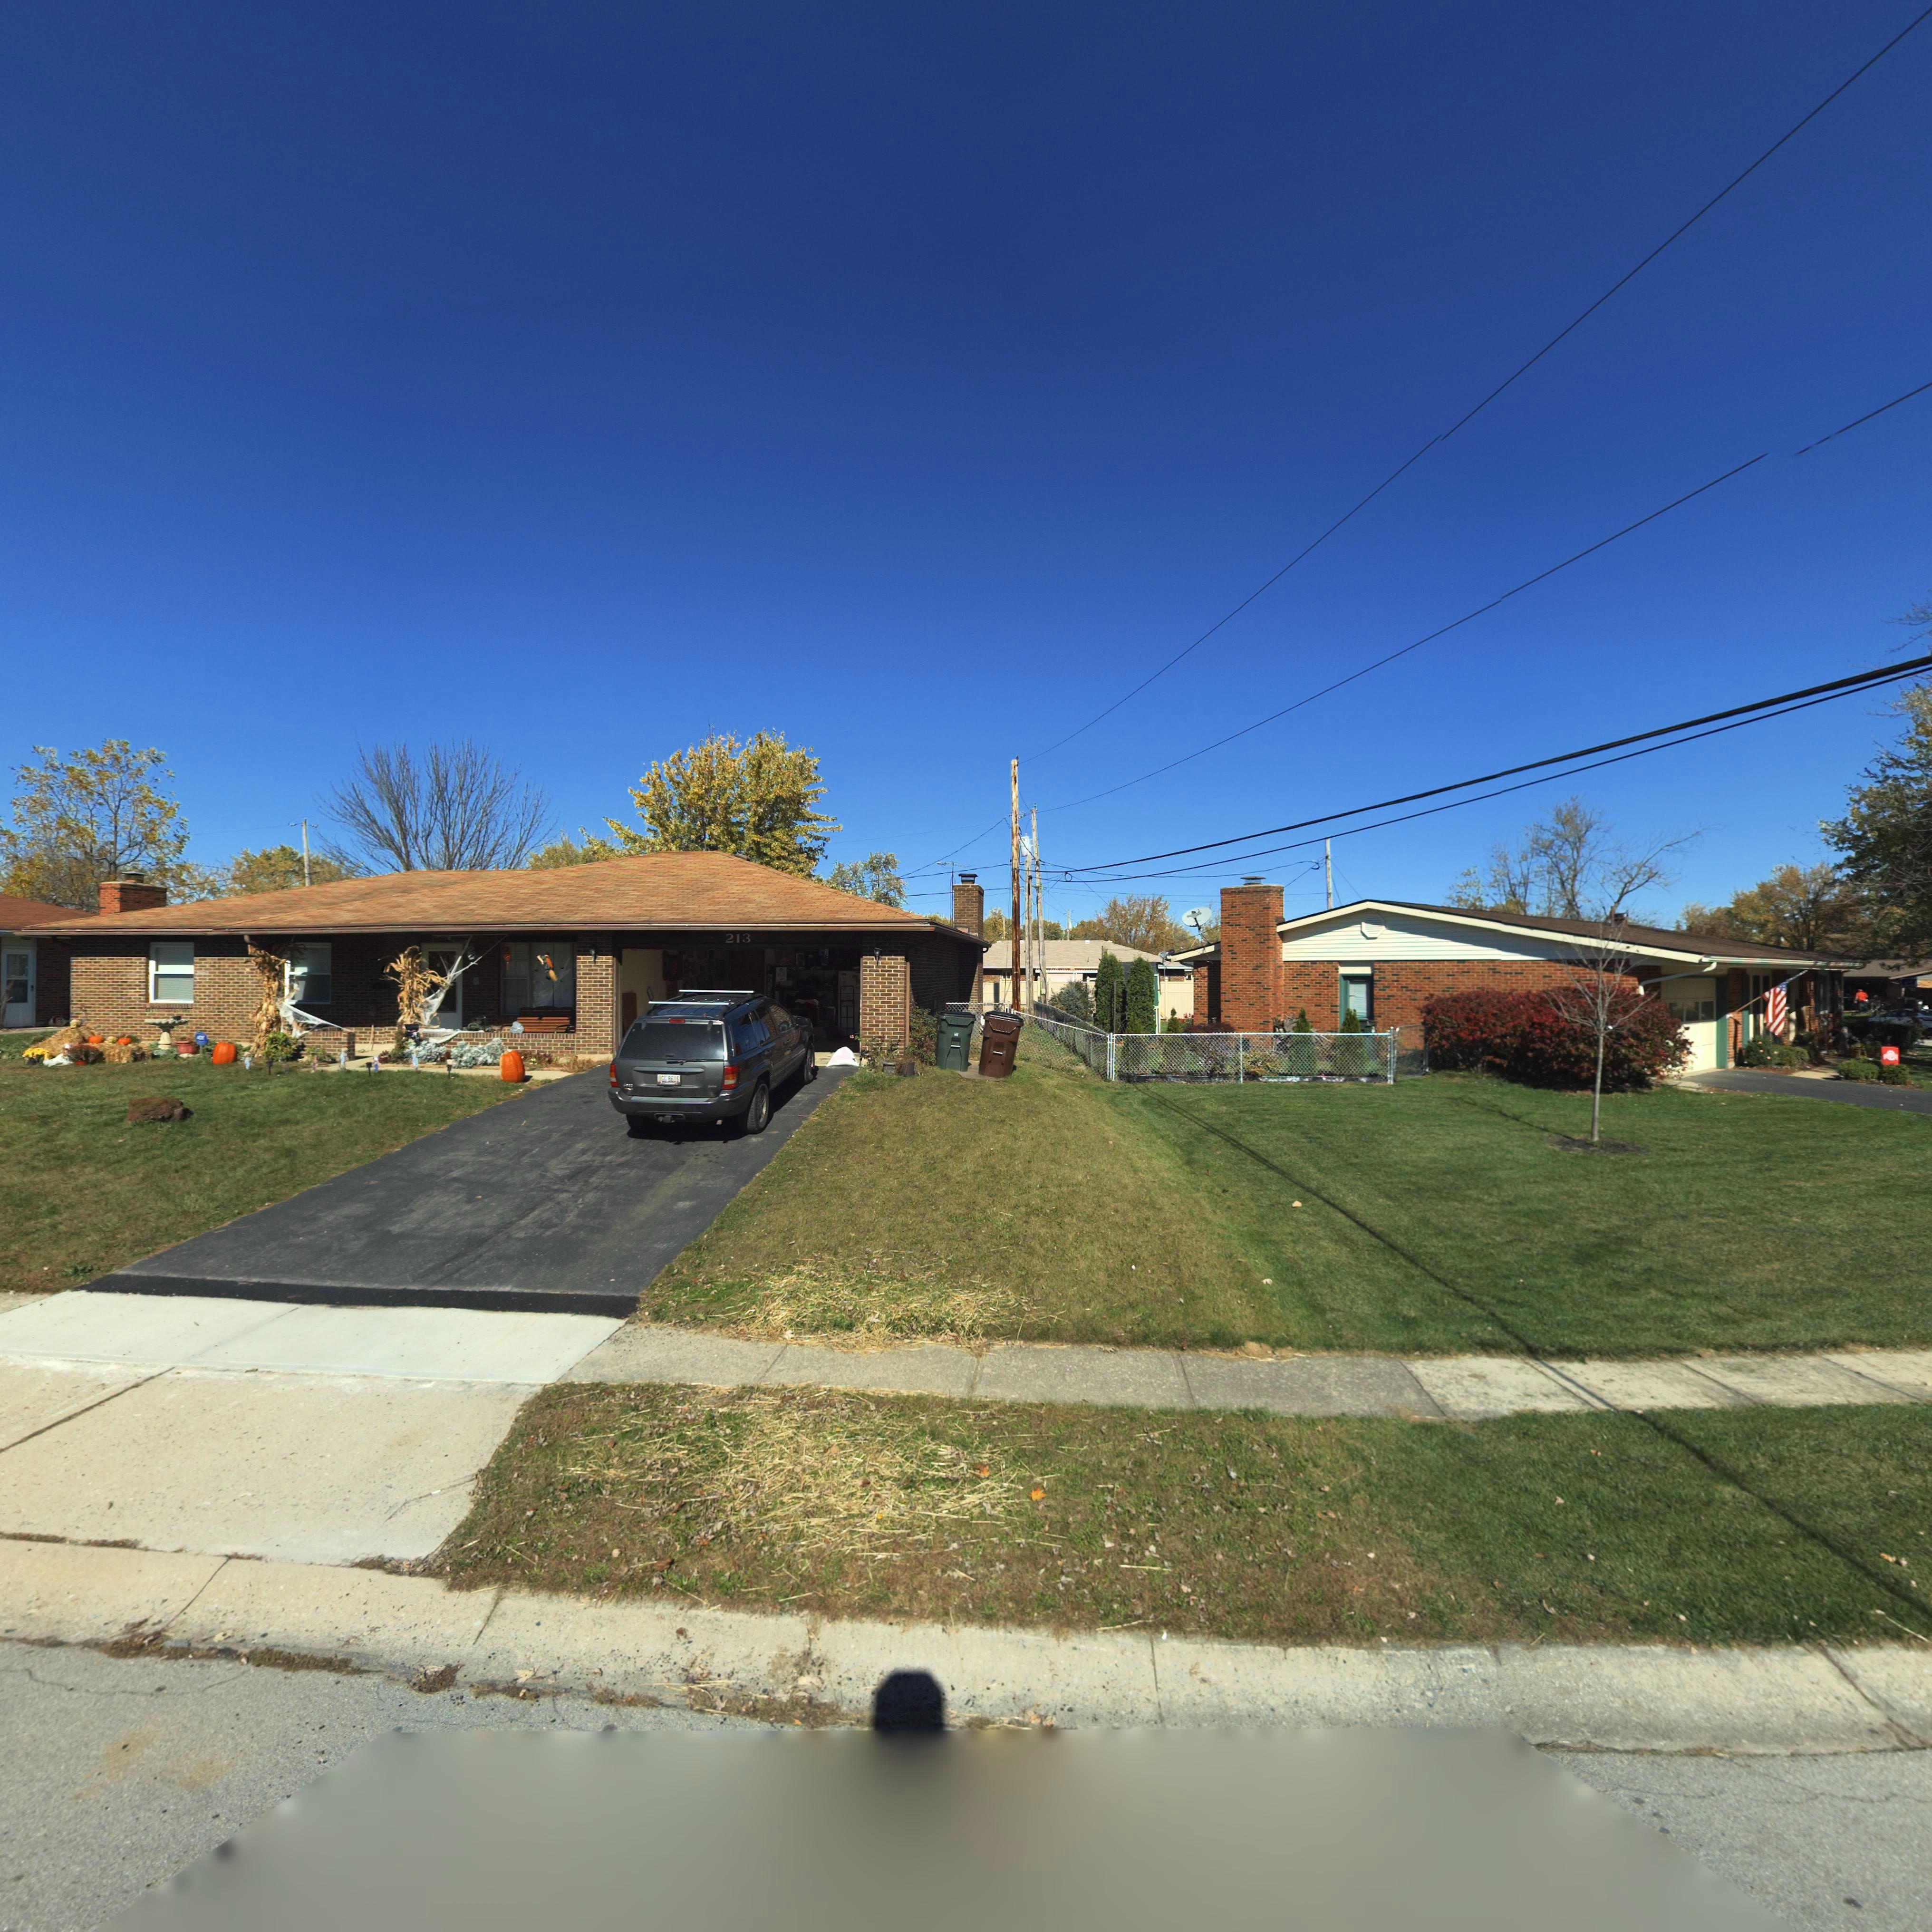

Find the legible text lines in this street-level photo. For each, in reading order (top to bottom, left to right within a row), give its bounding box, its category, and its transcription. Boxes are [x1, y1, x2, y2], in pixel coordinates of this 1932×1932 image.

[724, 933, 751, 944] StreetNumber: 213